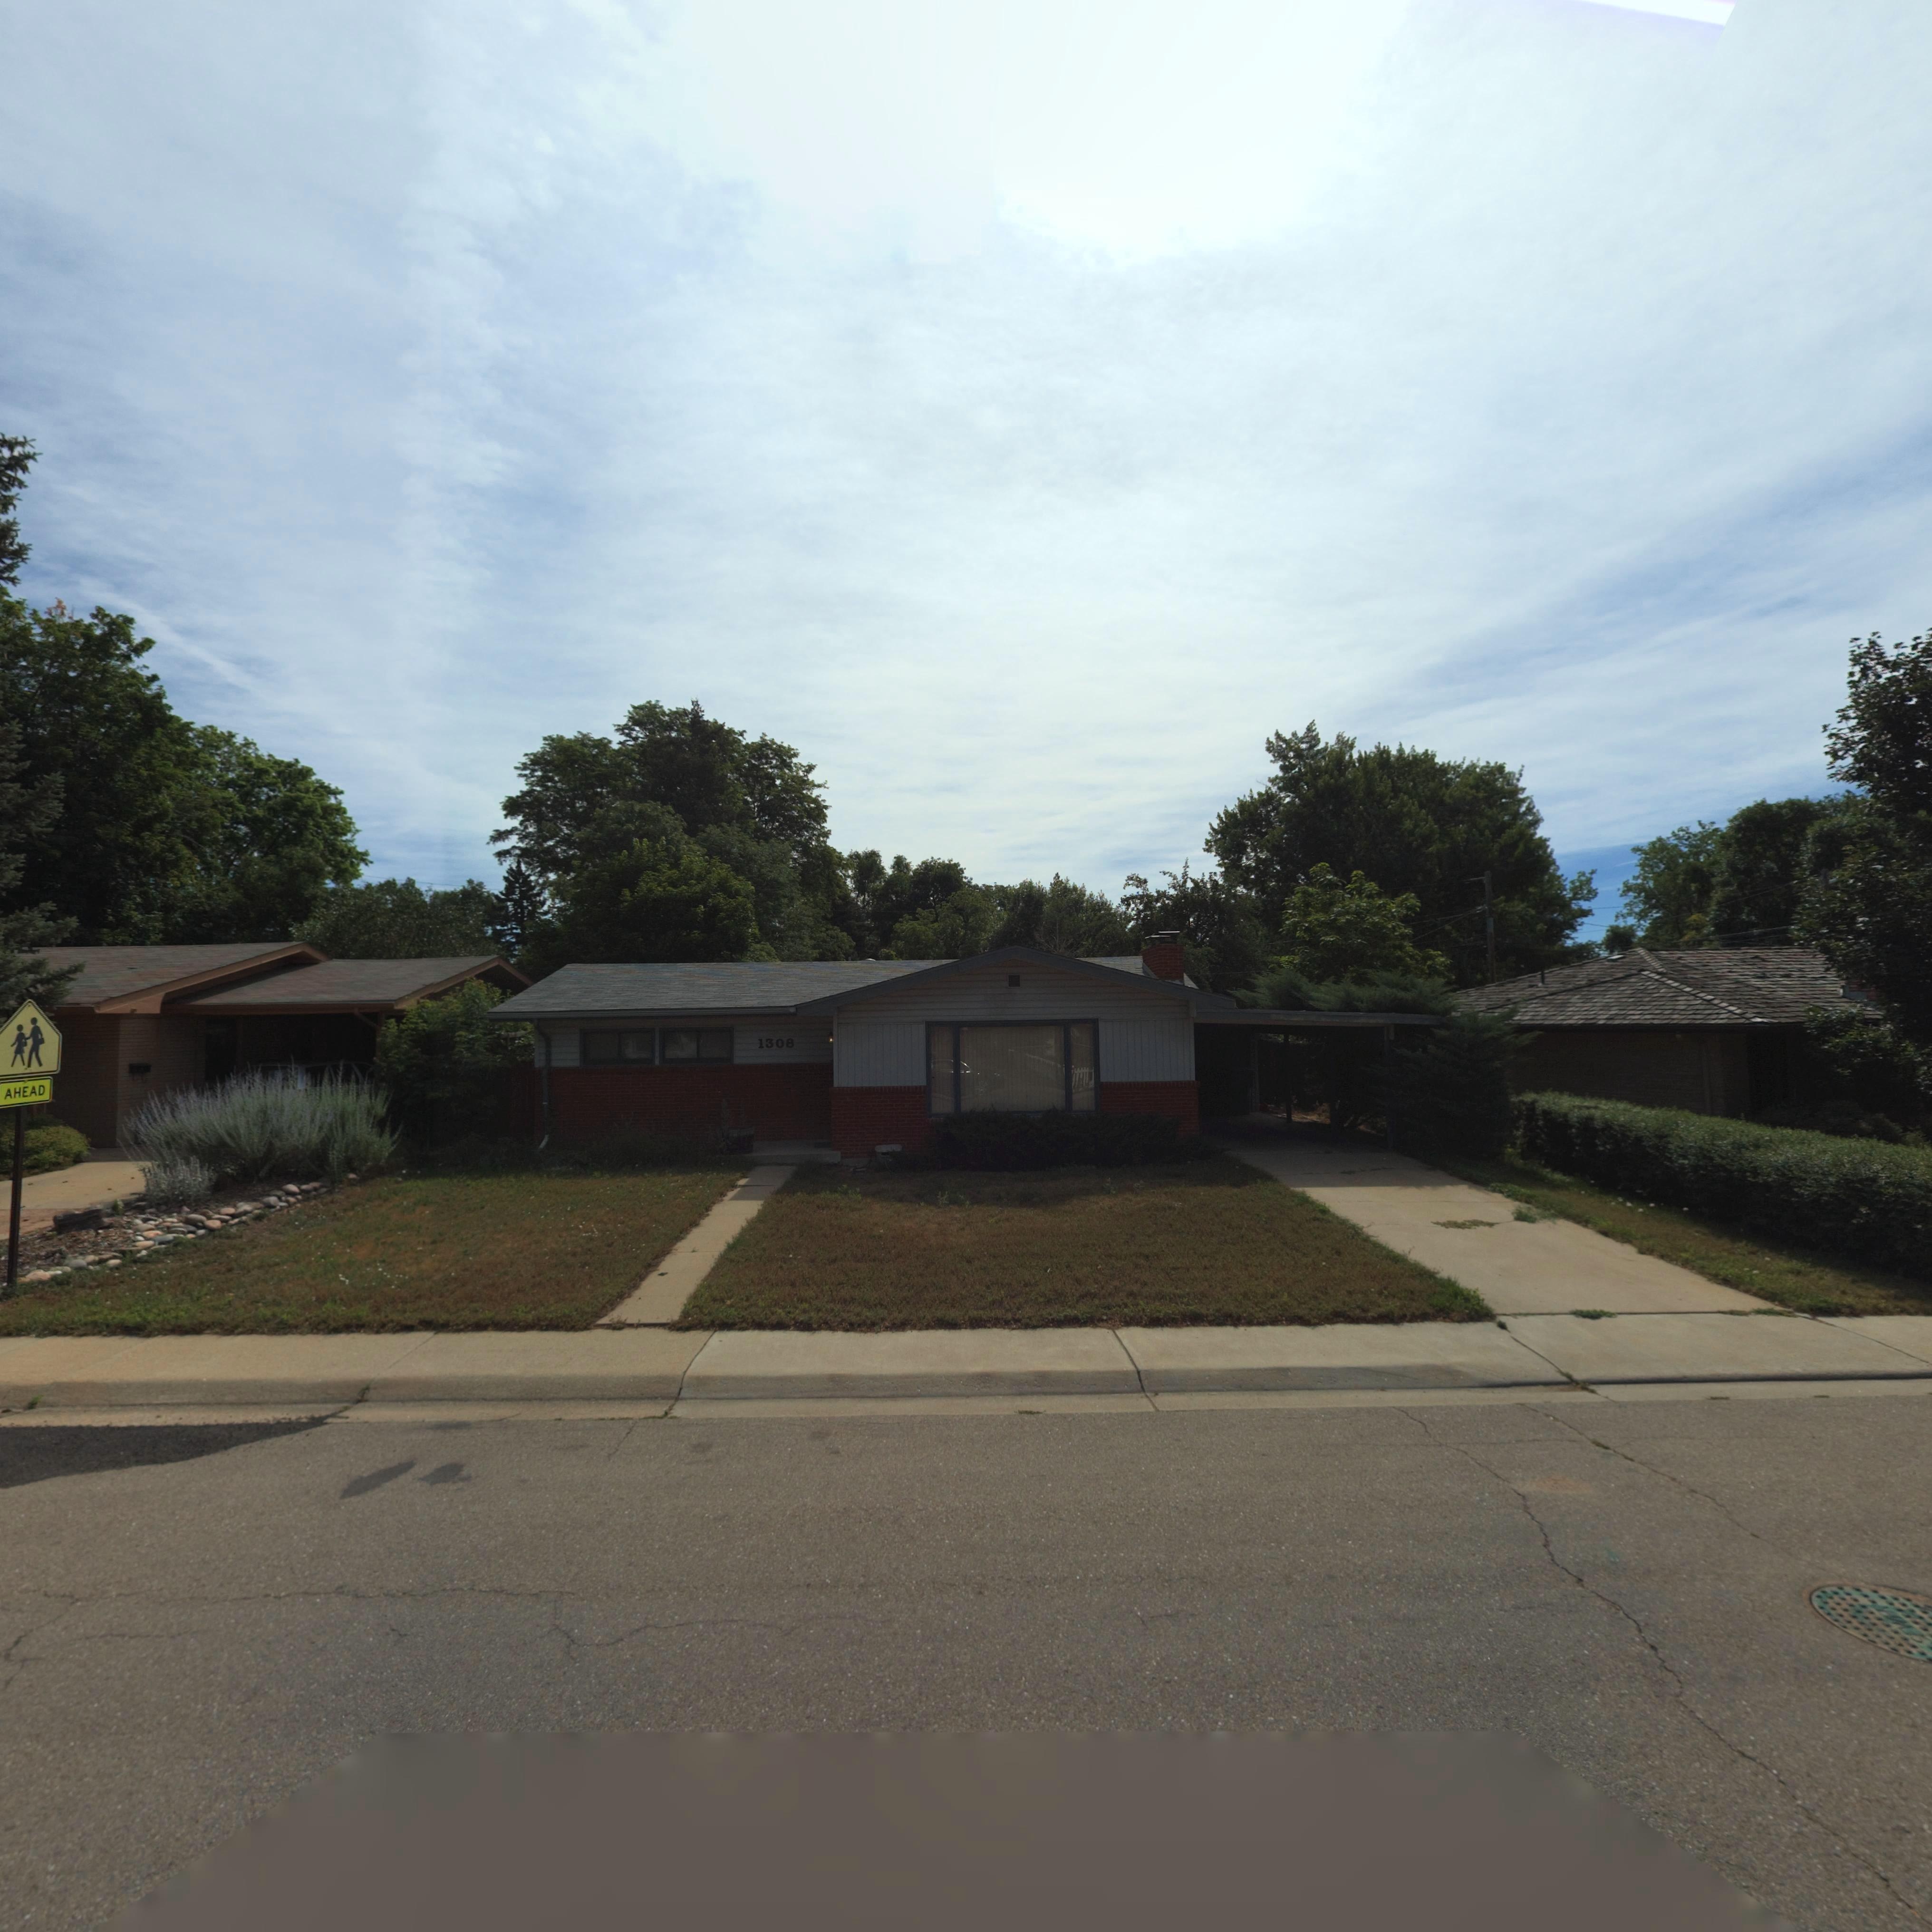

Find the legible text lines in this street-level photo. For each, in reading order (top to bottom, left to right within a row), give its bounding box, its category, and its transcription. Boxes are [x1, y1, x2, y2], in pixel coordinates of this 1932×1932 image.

[758, 1038, 794, 1048] StreetNumber: 1308